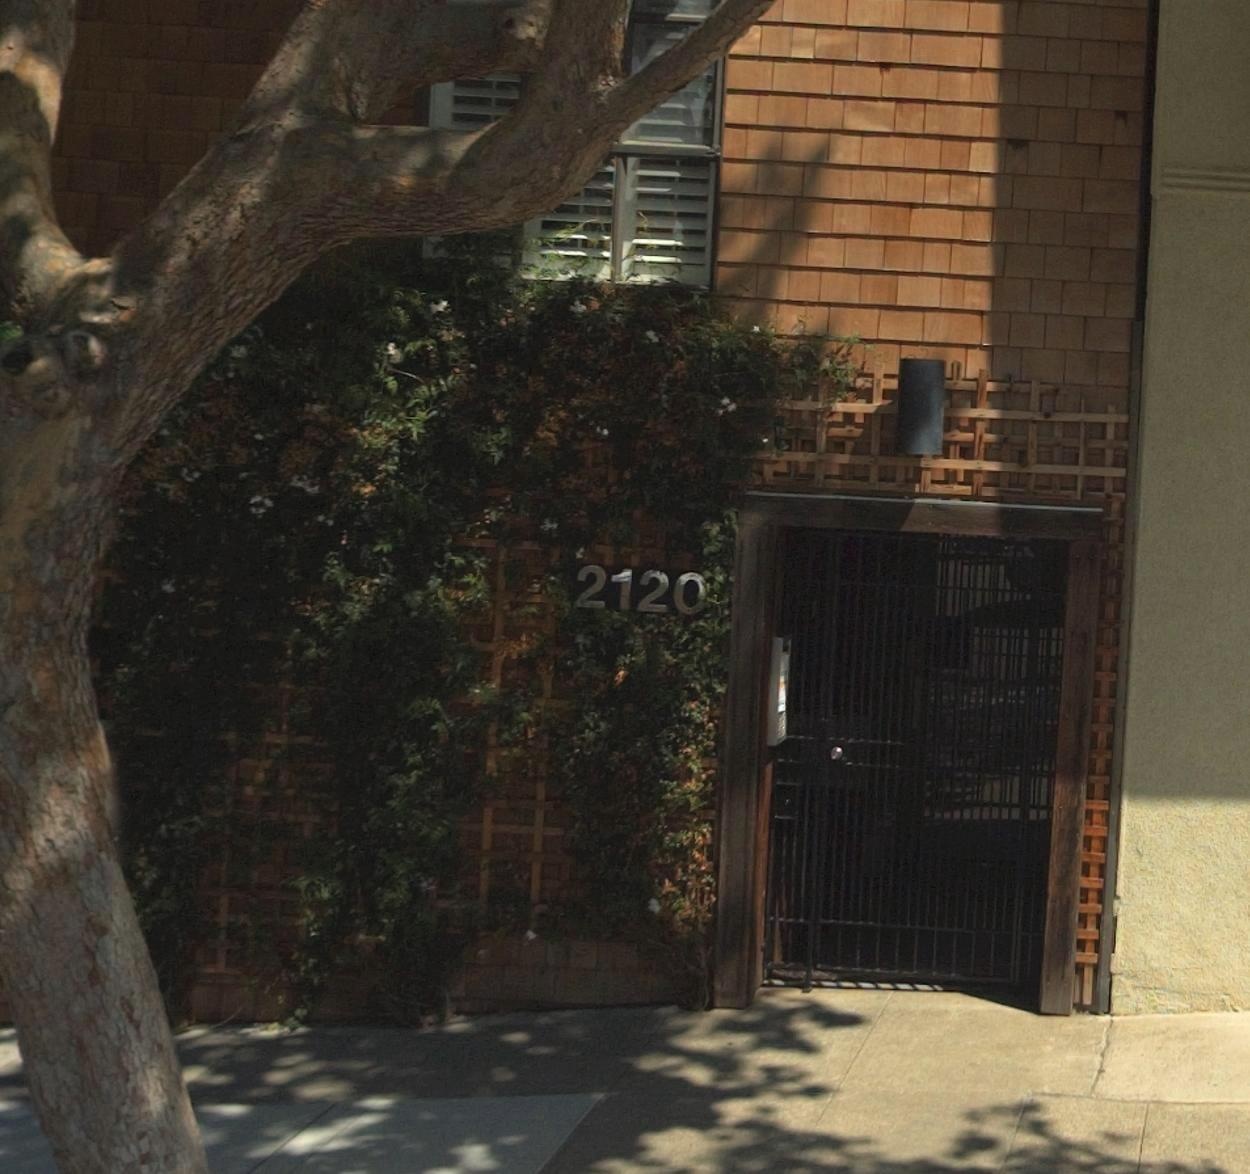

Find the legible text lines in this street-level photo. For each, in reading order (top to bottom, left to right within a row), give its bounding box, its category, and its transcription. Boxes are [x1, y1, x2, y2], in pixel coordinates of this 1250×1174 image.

[572, 564, 708, 618] StreetNumber: 2120